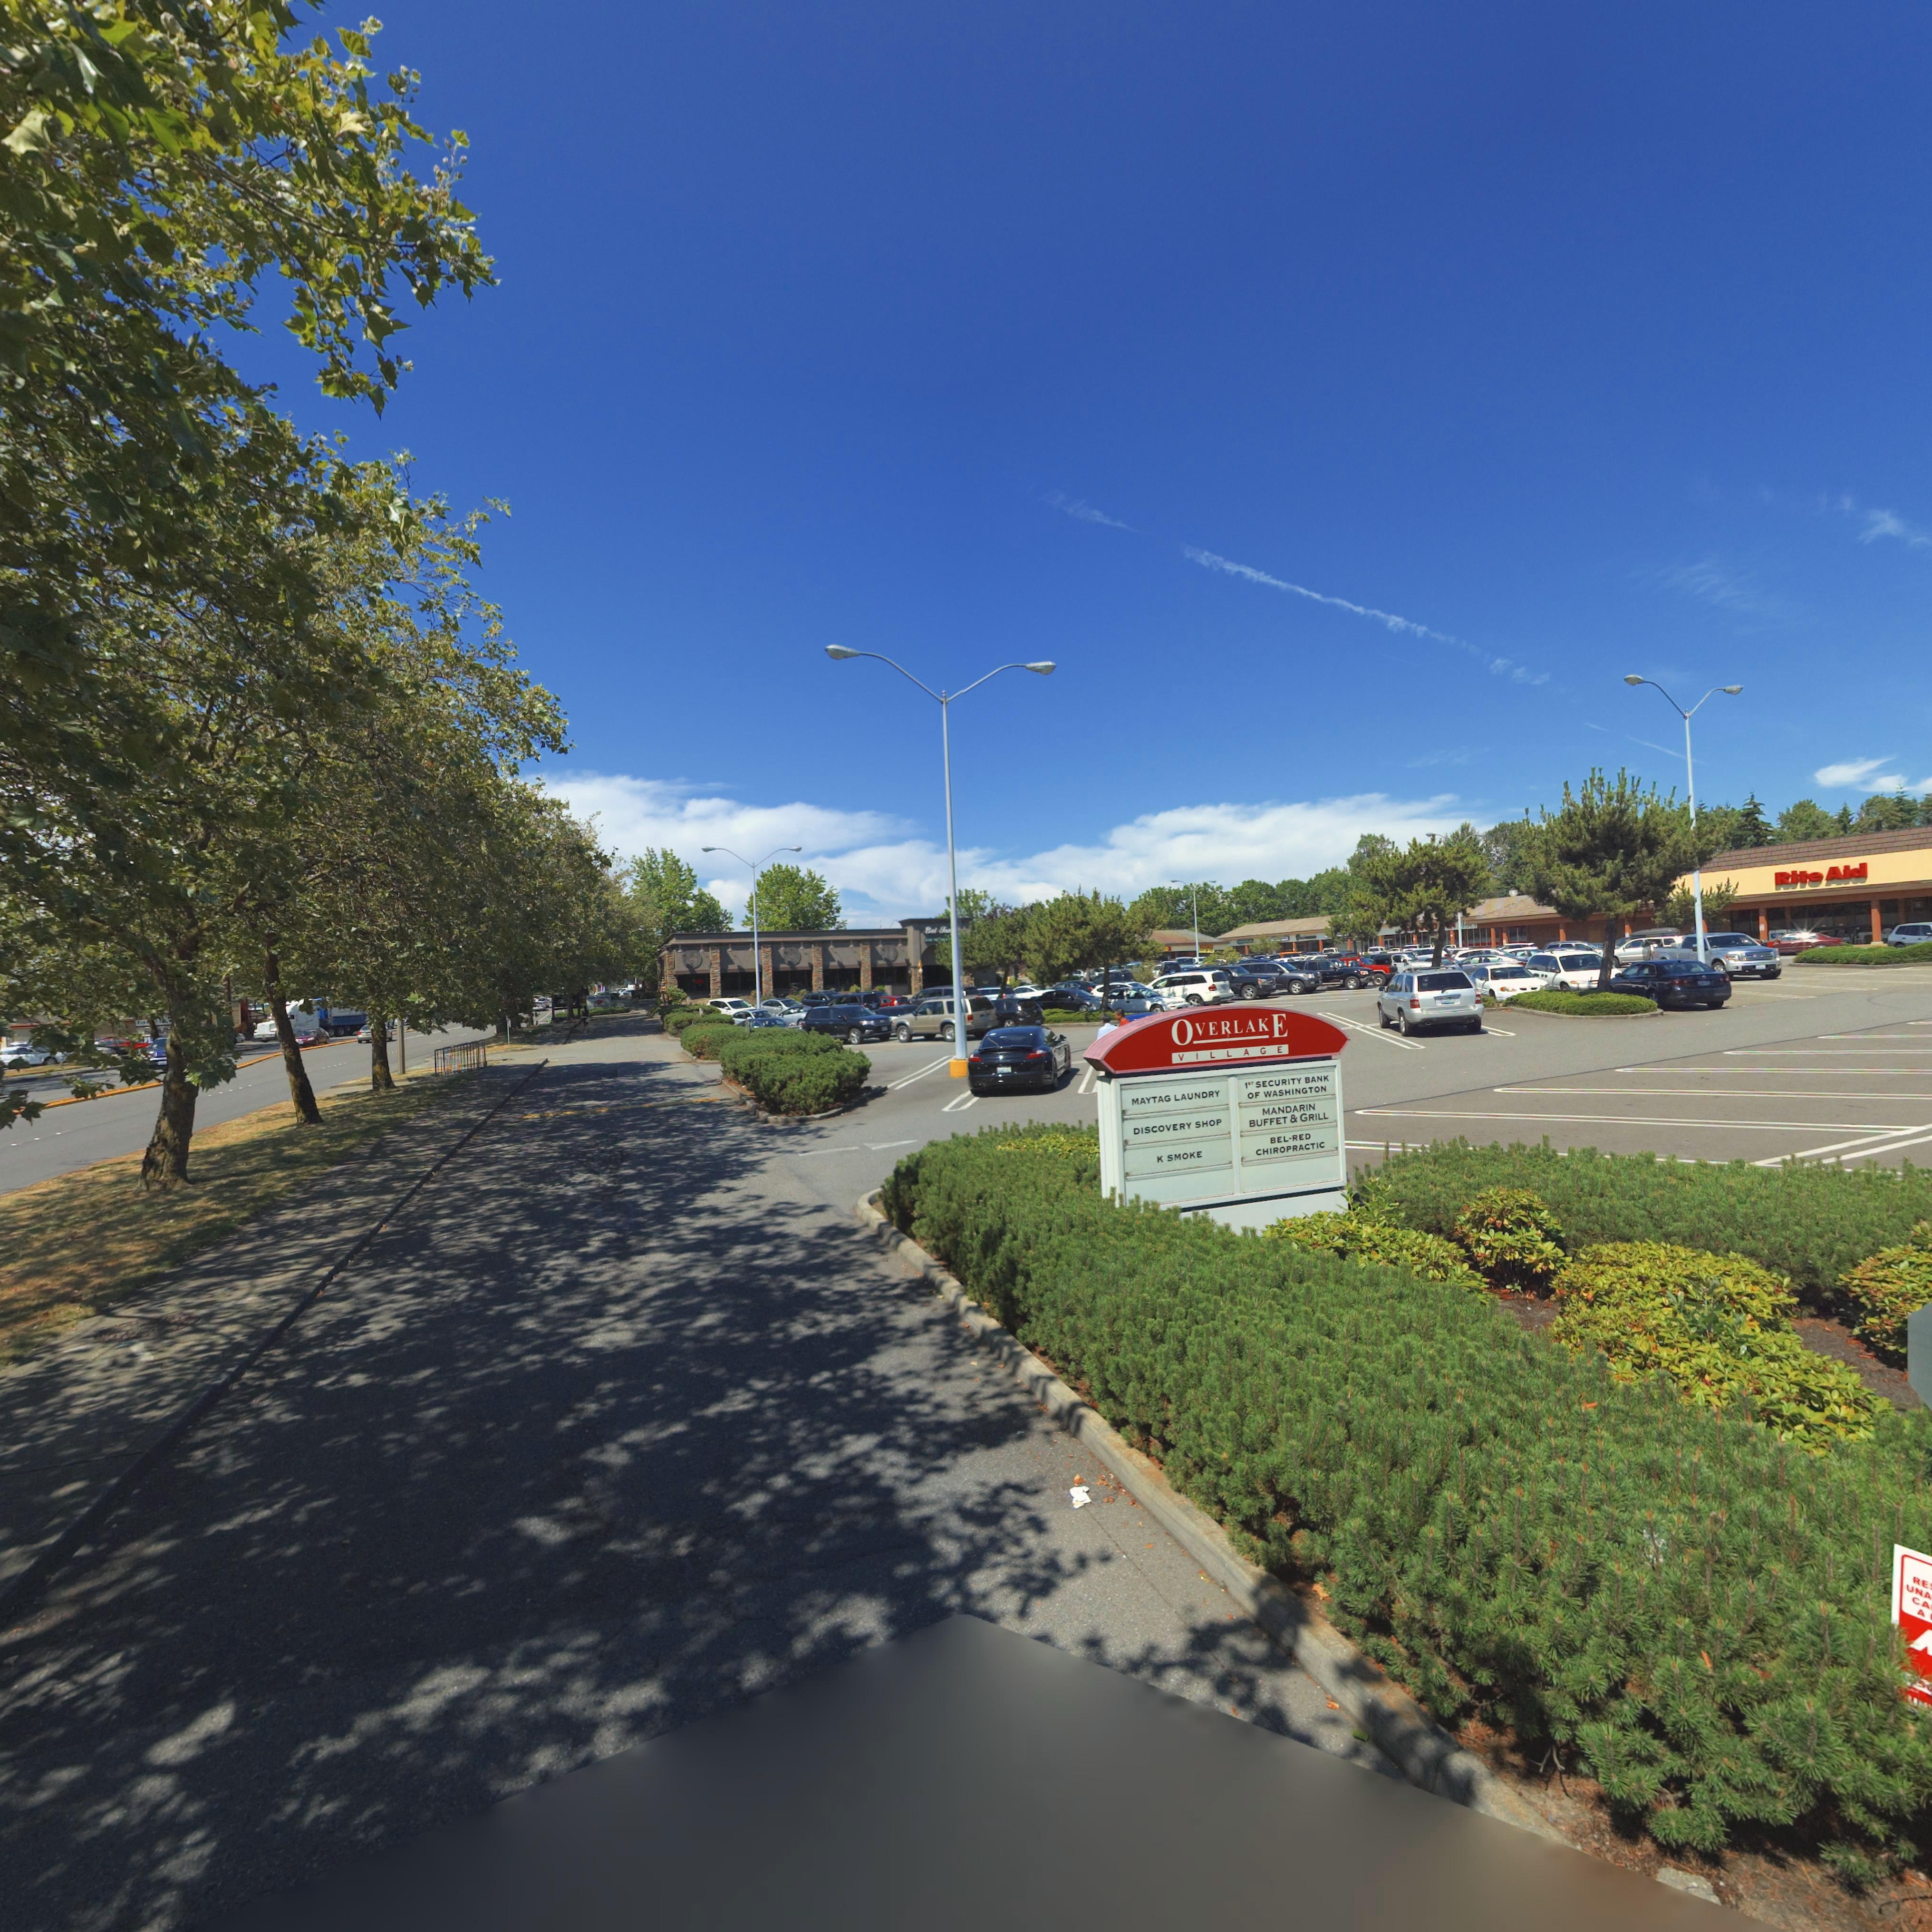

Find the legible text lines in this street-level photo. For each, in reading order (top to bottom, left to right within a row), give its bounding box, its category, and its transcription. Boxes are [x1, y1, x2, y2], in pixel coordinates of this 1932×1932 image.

[1244, 1074, 1330, 1089] BusinessName: 1st SECURITY BANK
[1131, 1089, 1220, 1104] BusinessName: MAYTAG LAUNDRY
[1245, 1084, 1328, 1099] BusinessName: OF WASHINGTON
[1261, 1102, 1315, 1115] BusinessName: MANDARIN
[1133, 1118, 1224, 1135] BusinessName: DISCOVERY SHOP
[1248, 1112, 1330, 1128] BusinessName: BUFFET * GRILL
[1270, 1132, 1311, 1143] BusinessName: BEL-RED
[1254, 1140, 1326, 1155] BusinessName: CHIROPRACTIC
[1156, 1150, 1202, 1163] BusinessName: K SMOKE